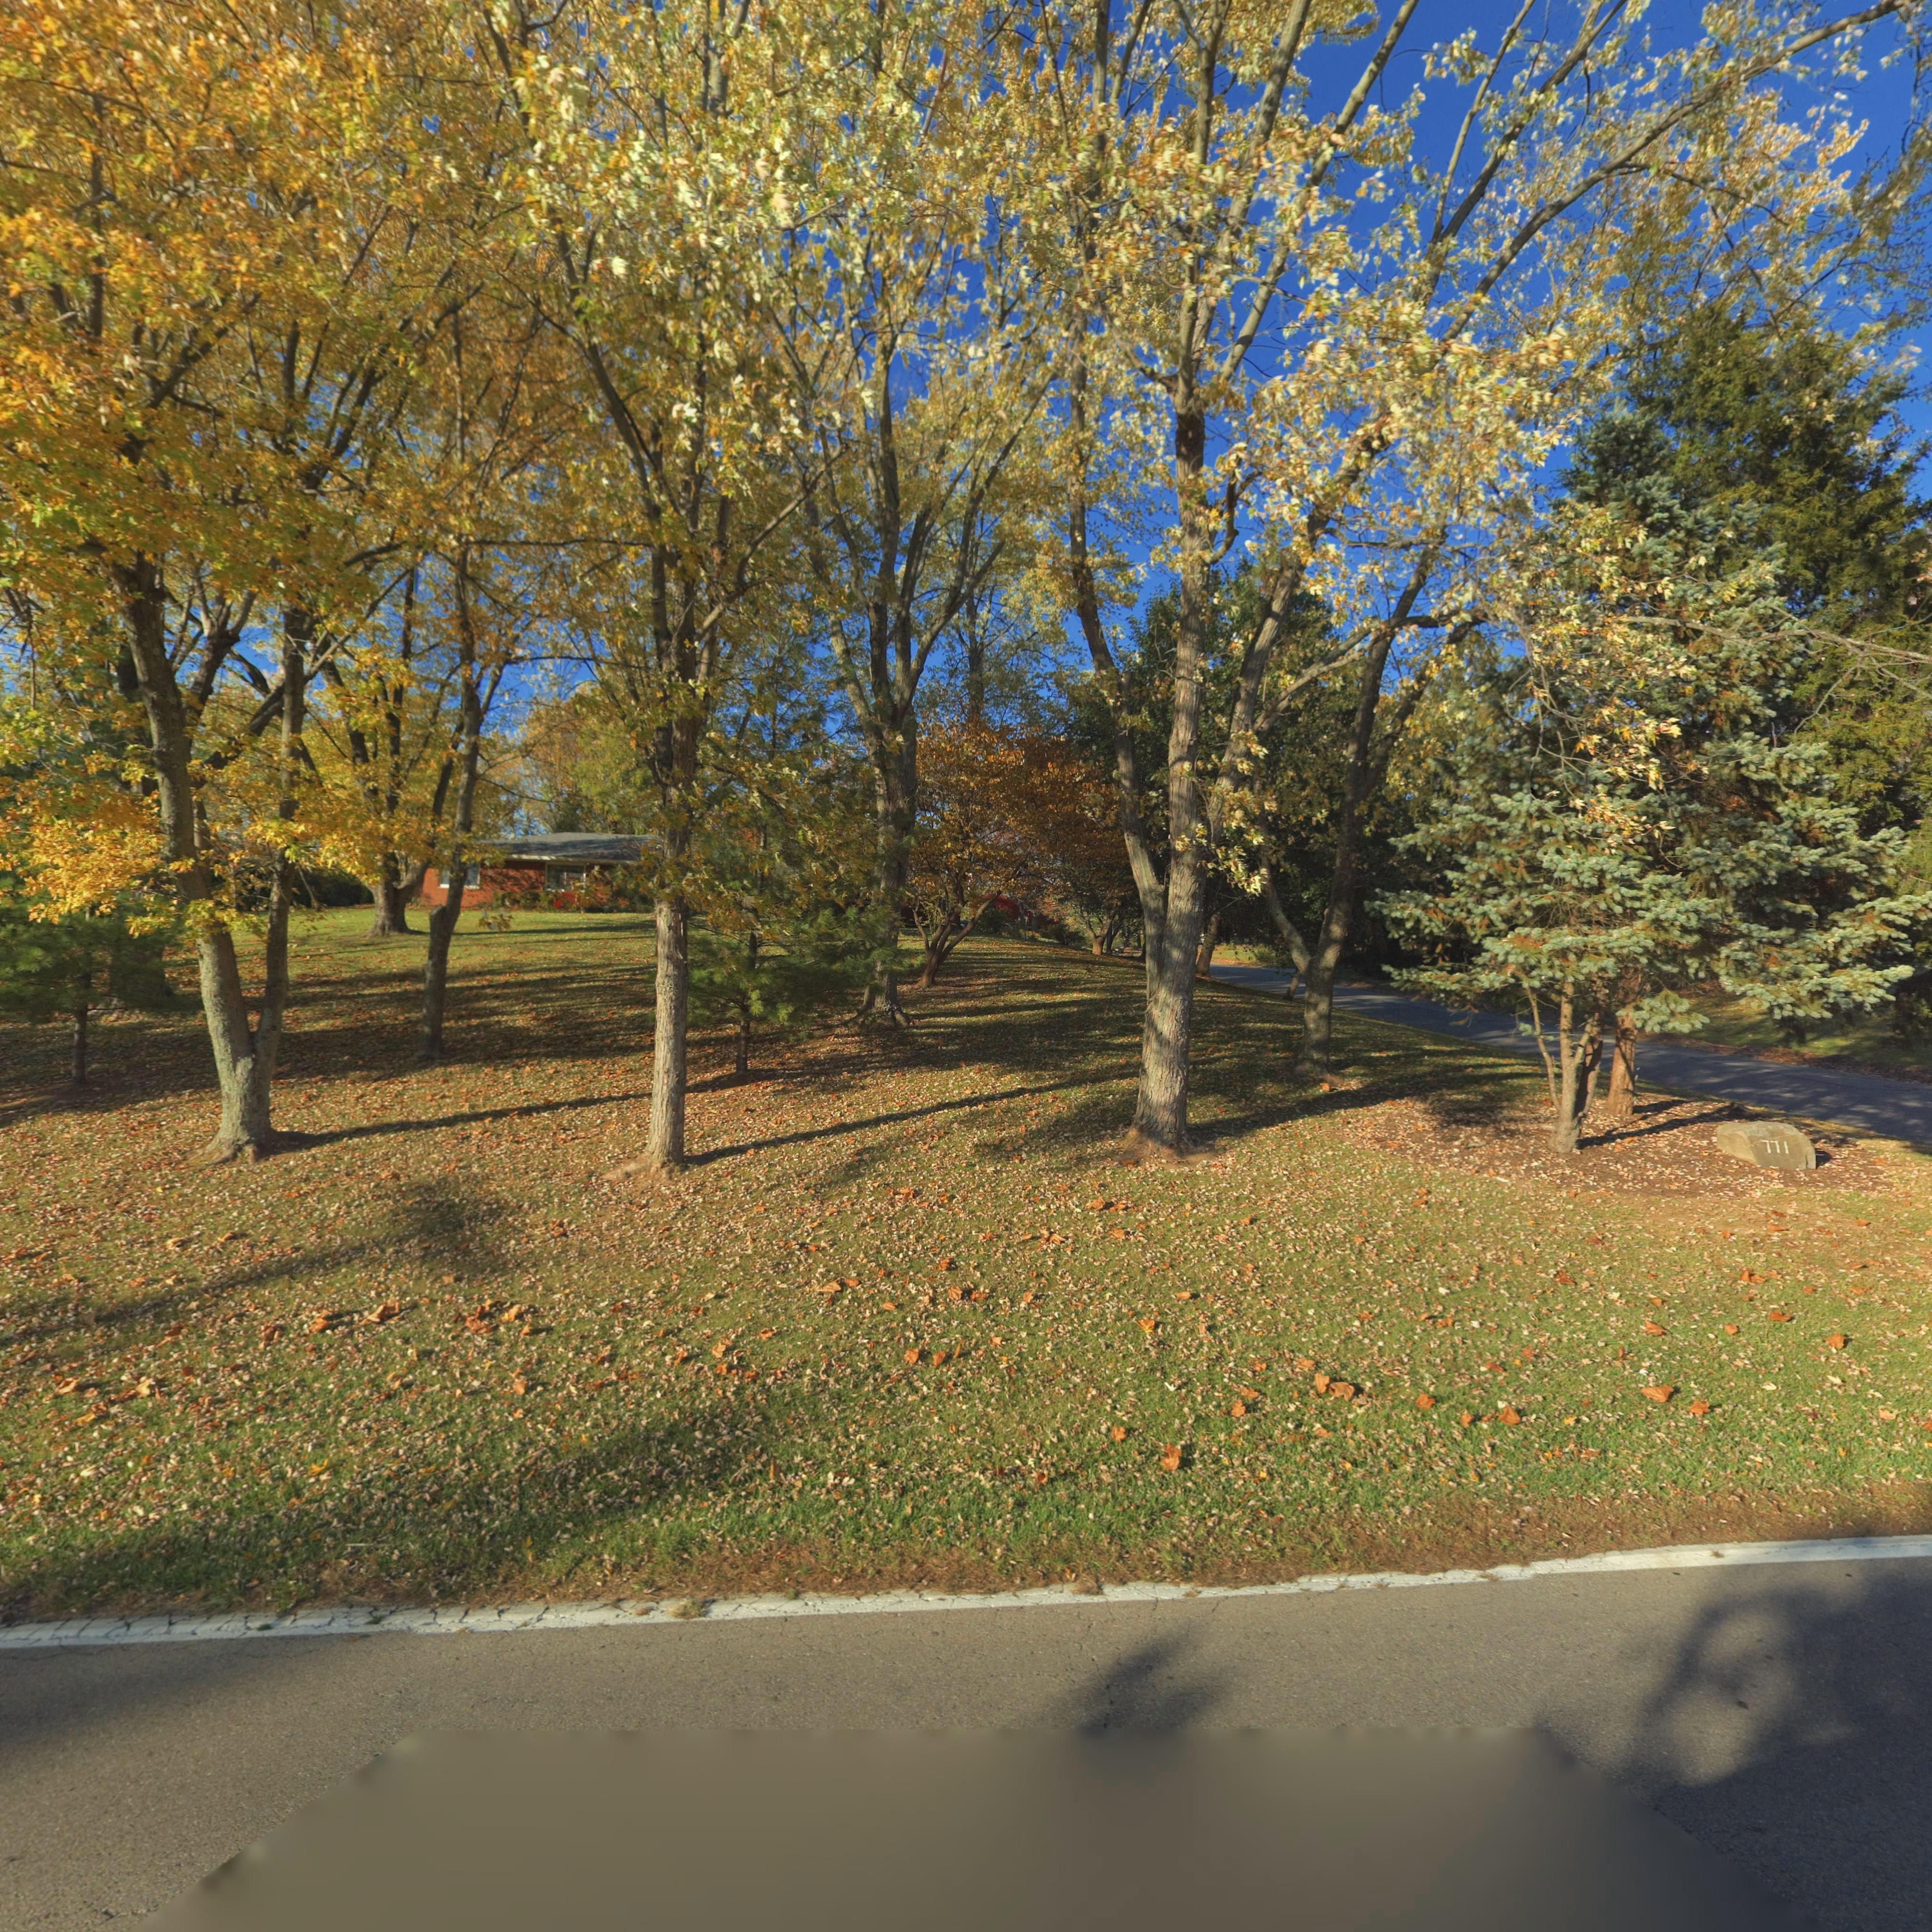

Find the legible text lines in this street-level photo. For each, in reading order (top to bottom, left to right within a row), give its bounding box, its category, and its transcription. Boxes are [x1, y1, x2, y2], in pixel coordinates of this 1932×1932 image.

[1761, 1139, 1790, 1155] StreetNumber: 771